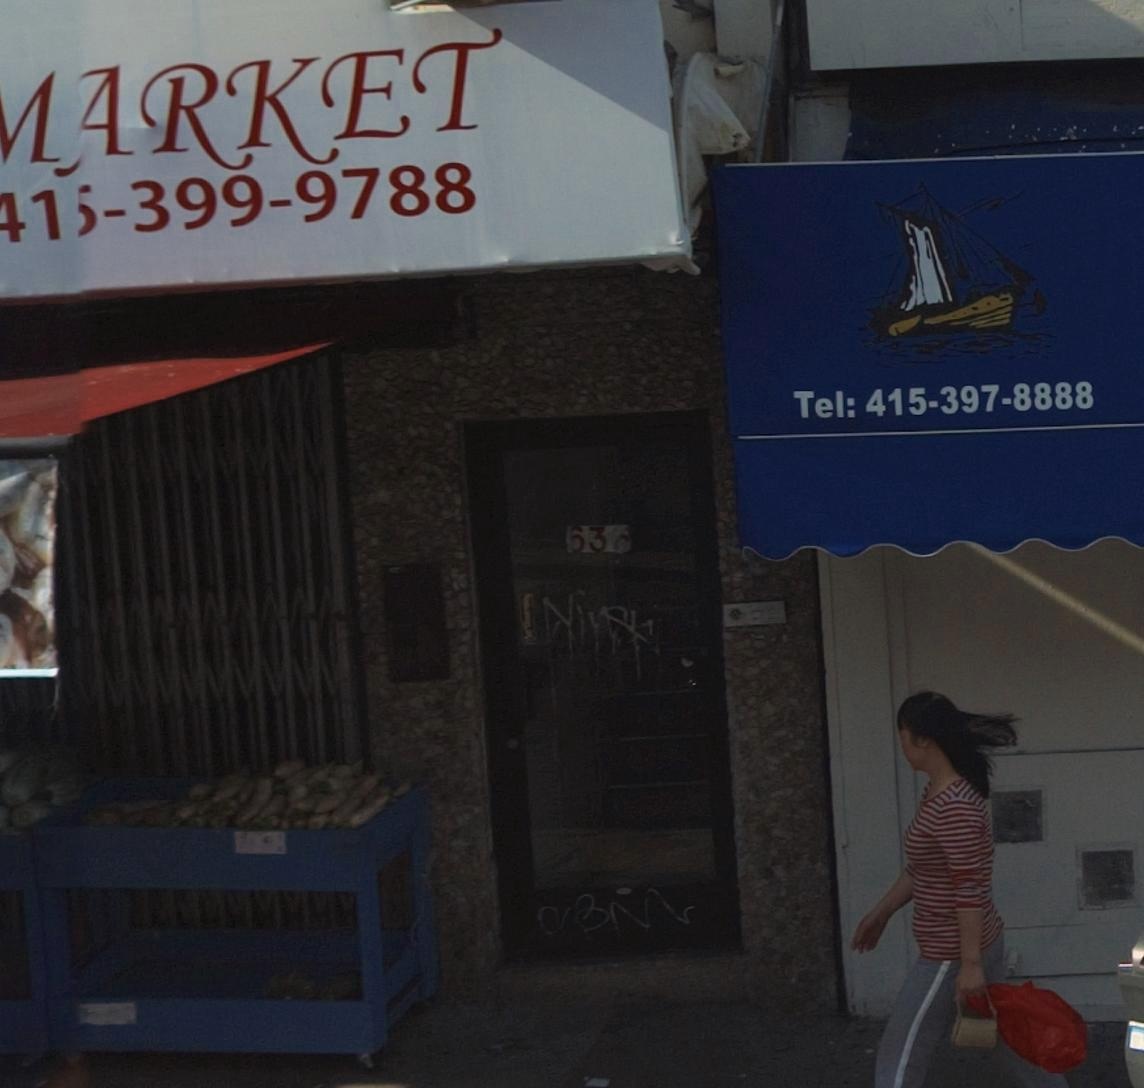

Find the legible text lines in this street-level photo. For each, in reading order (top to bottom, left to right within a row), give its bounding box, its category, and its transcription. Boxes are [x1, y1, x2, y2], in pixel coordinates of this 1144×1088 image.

[48, 26, 505, 179] BusinessName: ARKET
[25, 159, 479, 244] None: 1*-399-9788
[788, 379, 1095, 420] None: Tel: 415-397-8888
[567, 522, 634, 556] StreetNumber: 63*